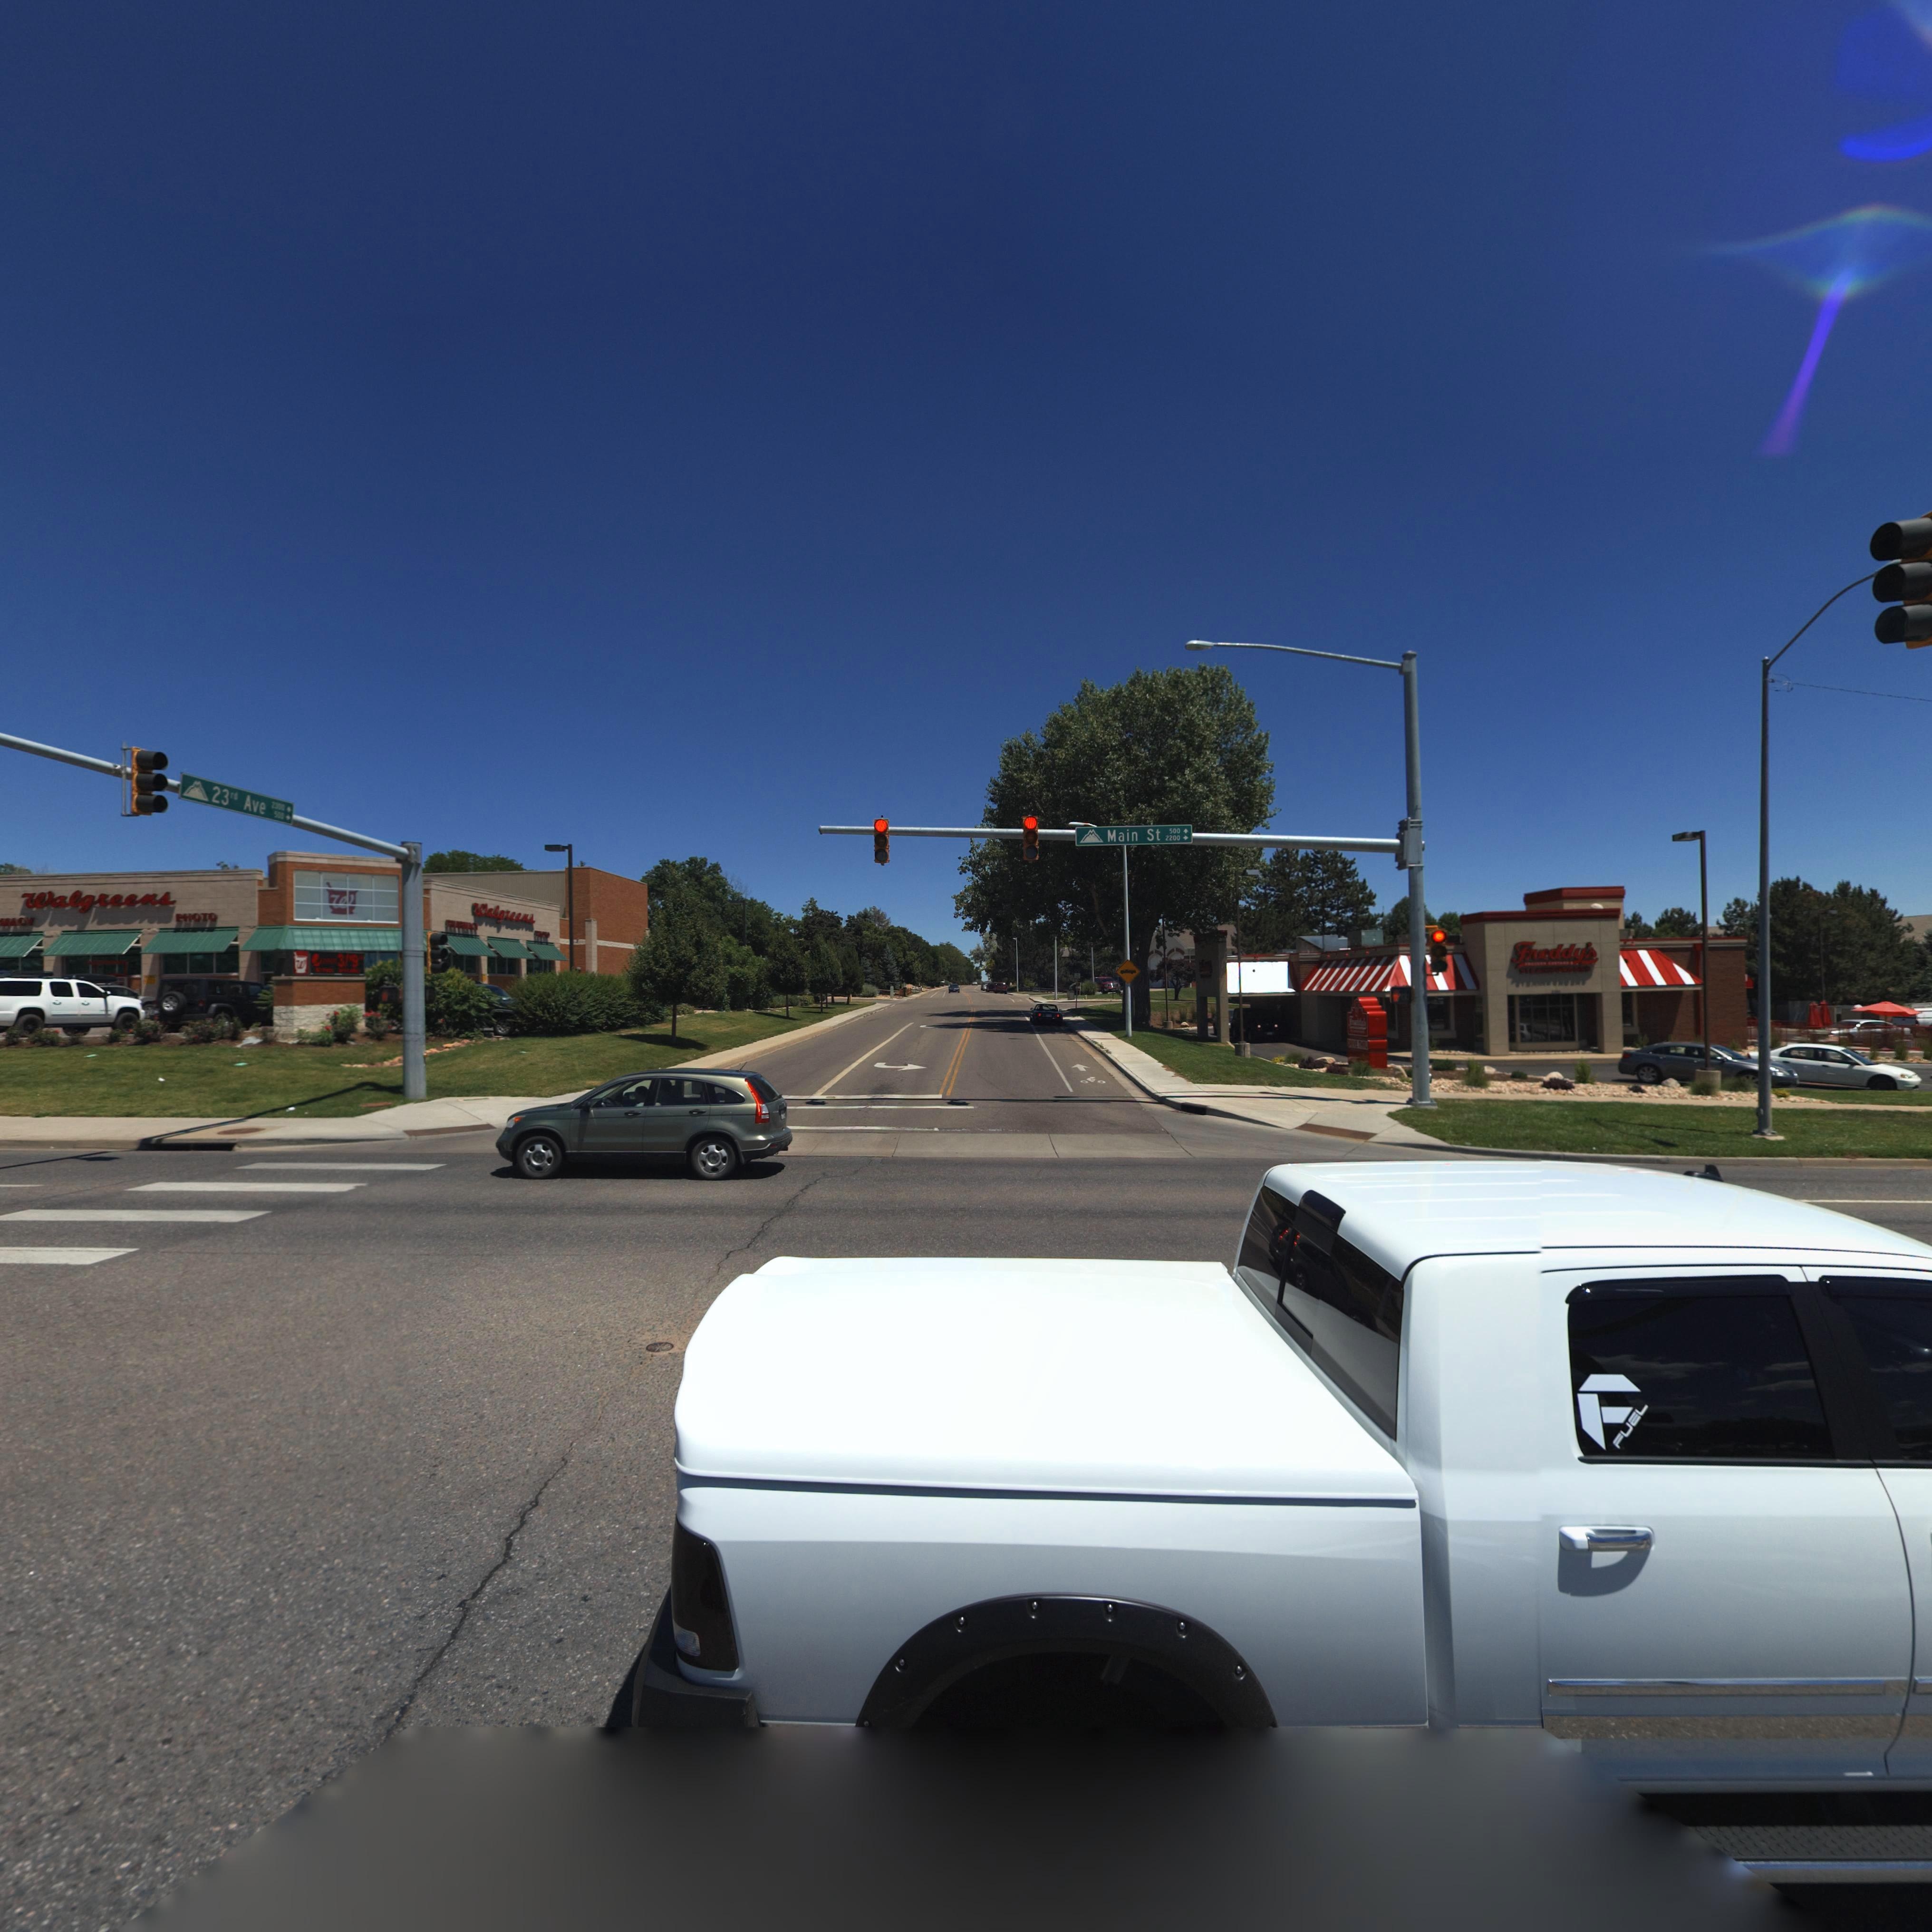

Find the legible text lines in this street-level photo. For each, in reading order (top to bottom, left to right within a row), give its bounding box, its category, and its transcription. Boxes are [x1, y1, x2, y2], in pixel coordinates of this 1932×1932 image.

[211, 786, 266, 814] StreetName: 23rd Ave
[271, 801, 285, 811] StreetNumberRange: 2***
[274, 811, 290, 820] StreetNumberRange: 50**
[1107, 828, 1161, 842] StreetName: Main St
[1169, 827, 1180, 834] StreetNumberRange: 500
[1165, 834, 1188, 841] StreetNumberRange: 2200->
[20, 889, 176, 913] BusinessName: Walgreens
[472, 902, 536, 924] BusinessName: Walgreens
[1511, 940, 1597, 965] BusinessName: Freddy's